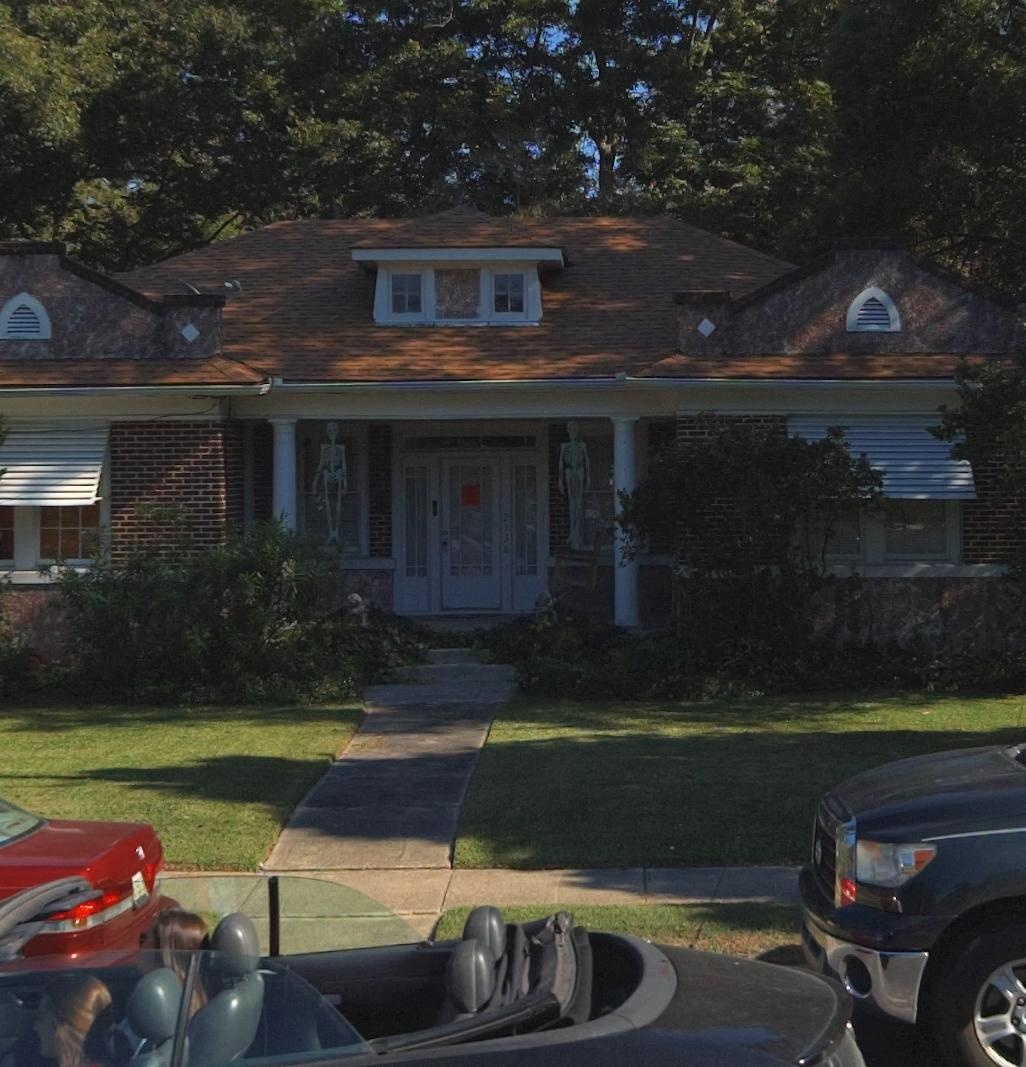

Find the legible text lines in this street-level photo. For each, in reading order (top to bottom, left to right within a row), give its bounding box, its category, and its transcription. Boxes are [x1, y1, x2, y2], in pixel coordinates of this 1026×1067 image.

[502, 510, 511, 555] StreetNumber: 213*